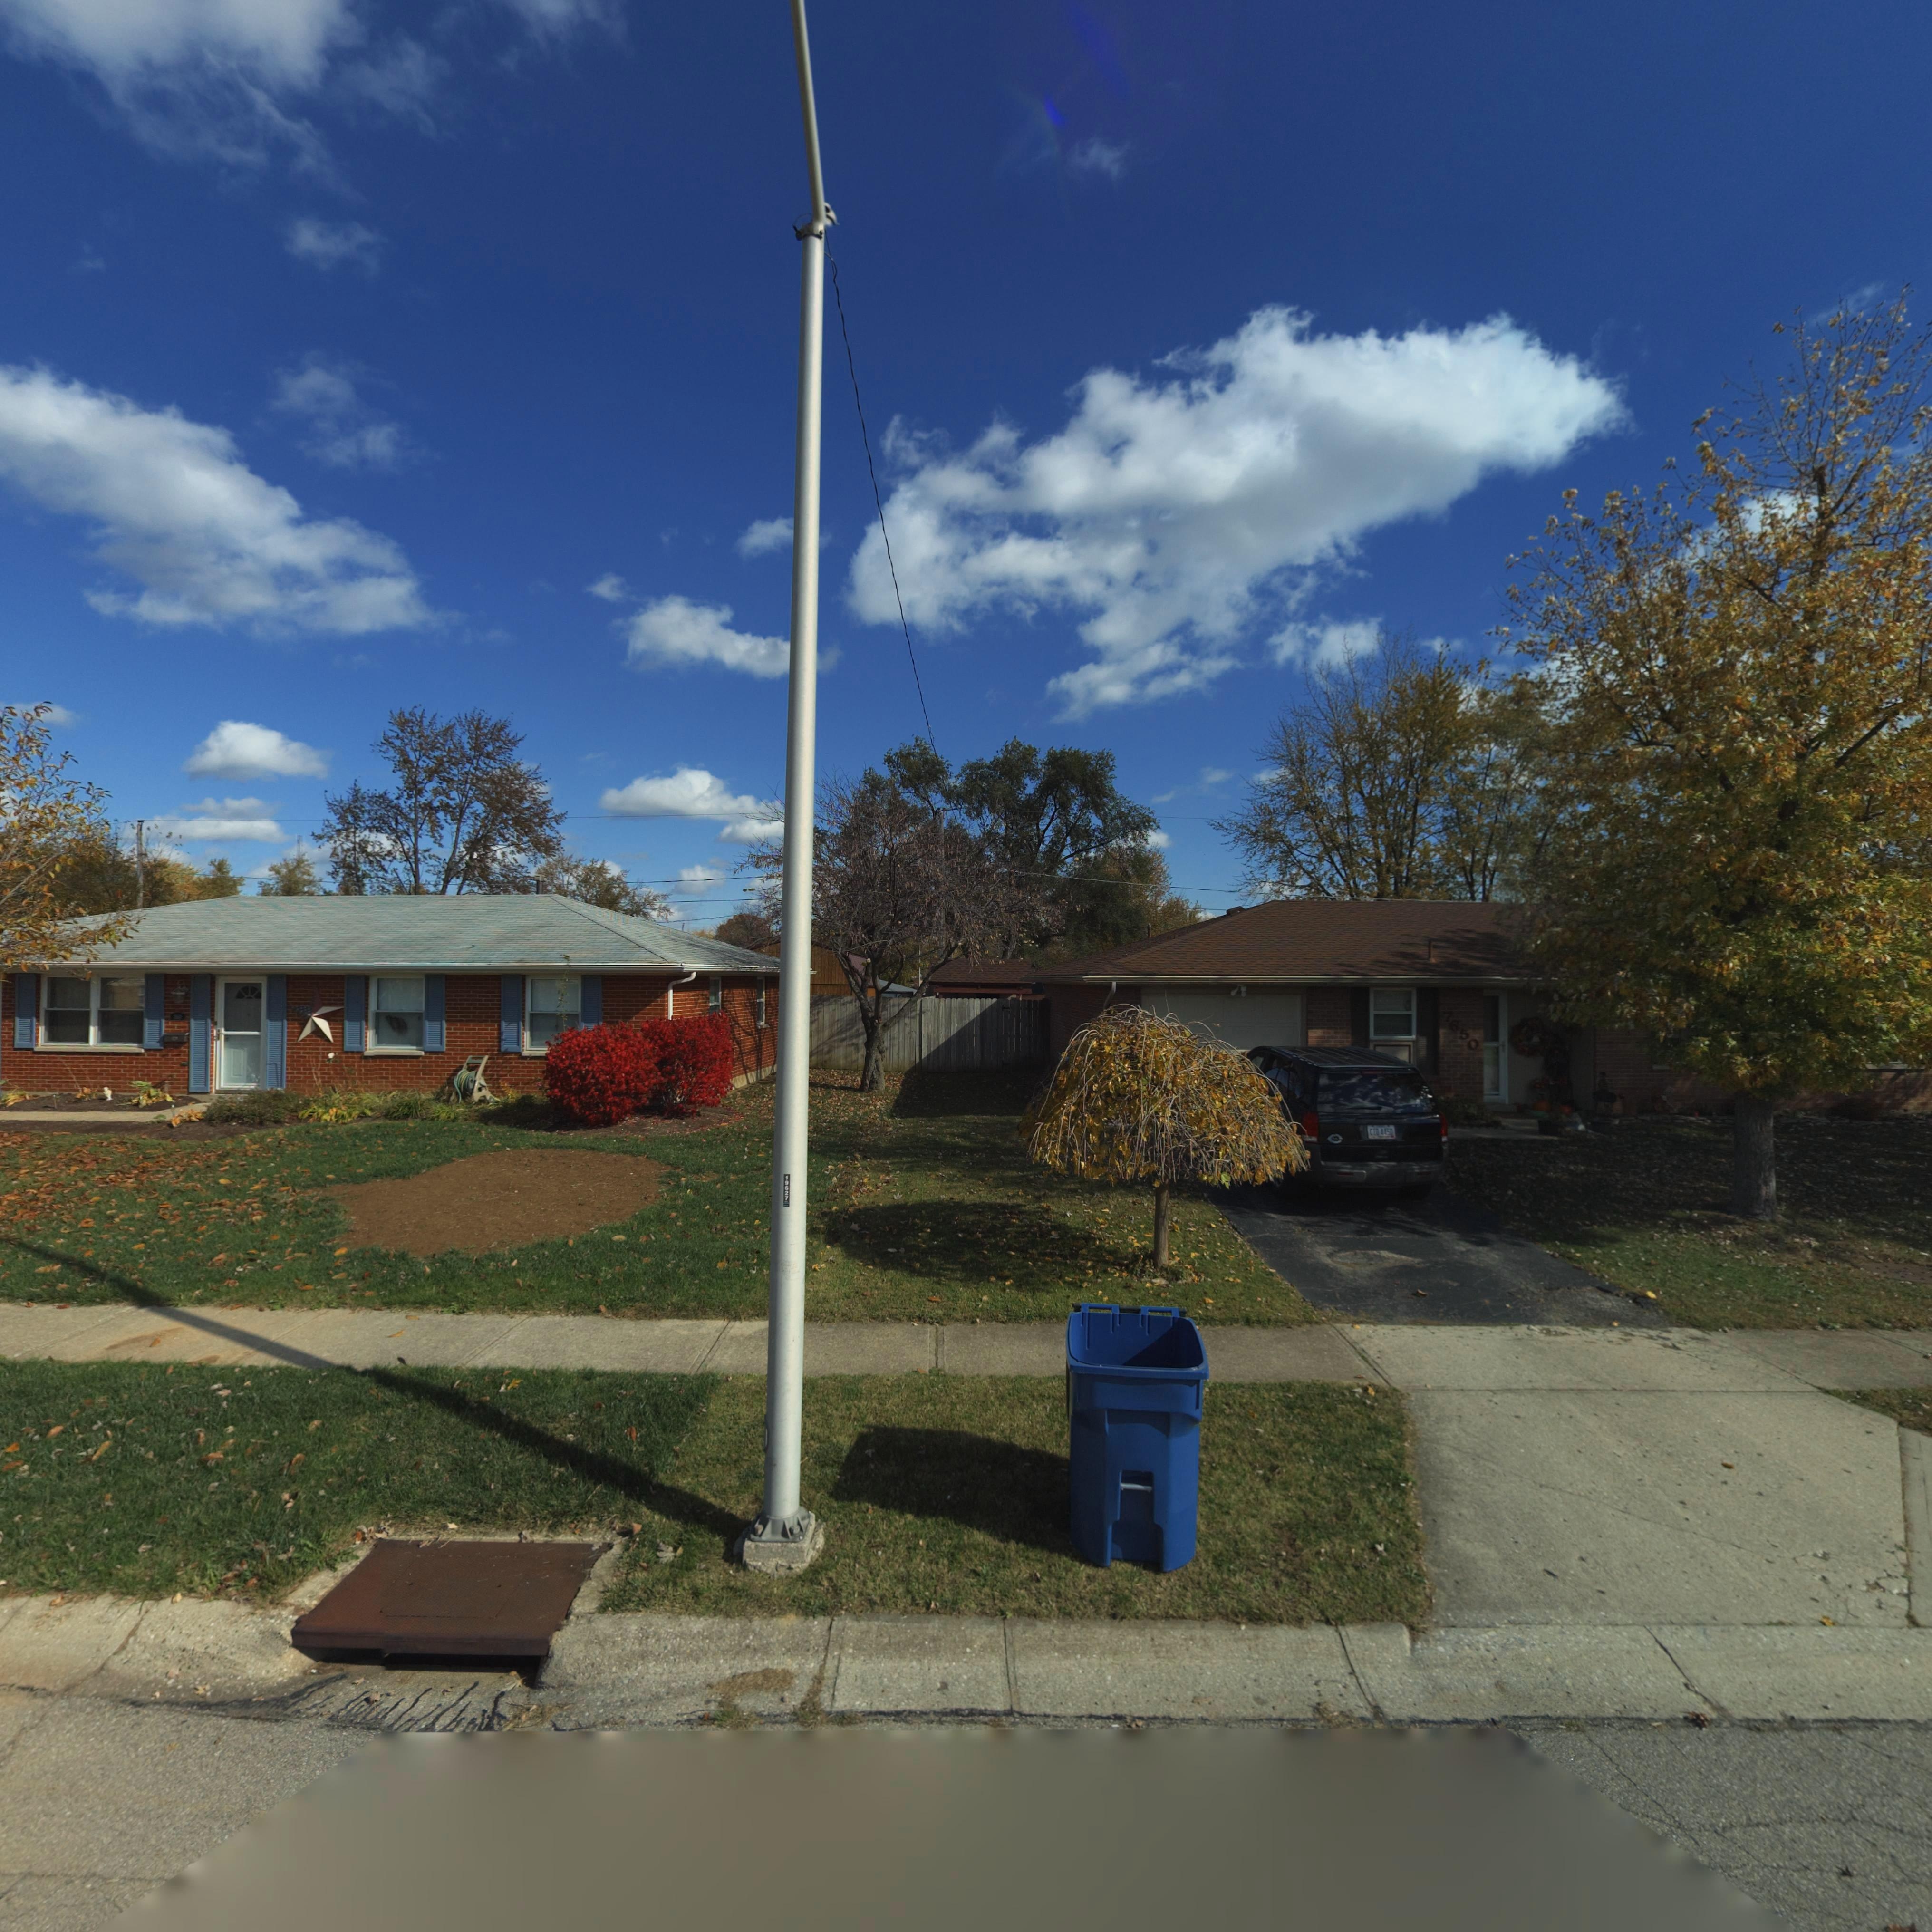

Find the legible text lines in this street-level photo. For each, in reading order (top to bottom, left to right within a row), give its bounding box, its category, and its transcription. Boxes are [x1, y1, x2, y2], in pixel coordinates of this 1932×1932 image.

[172, 1014, 183, 1020] StreetNumber: 7***
[1442, 1010, 1480, 1051] StreetNumber: 7650